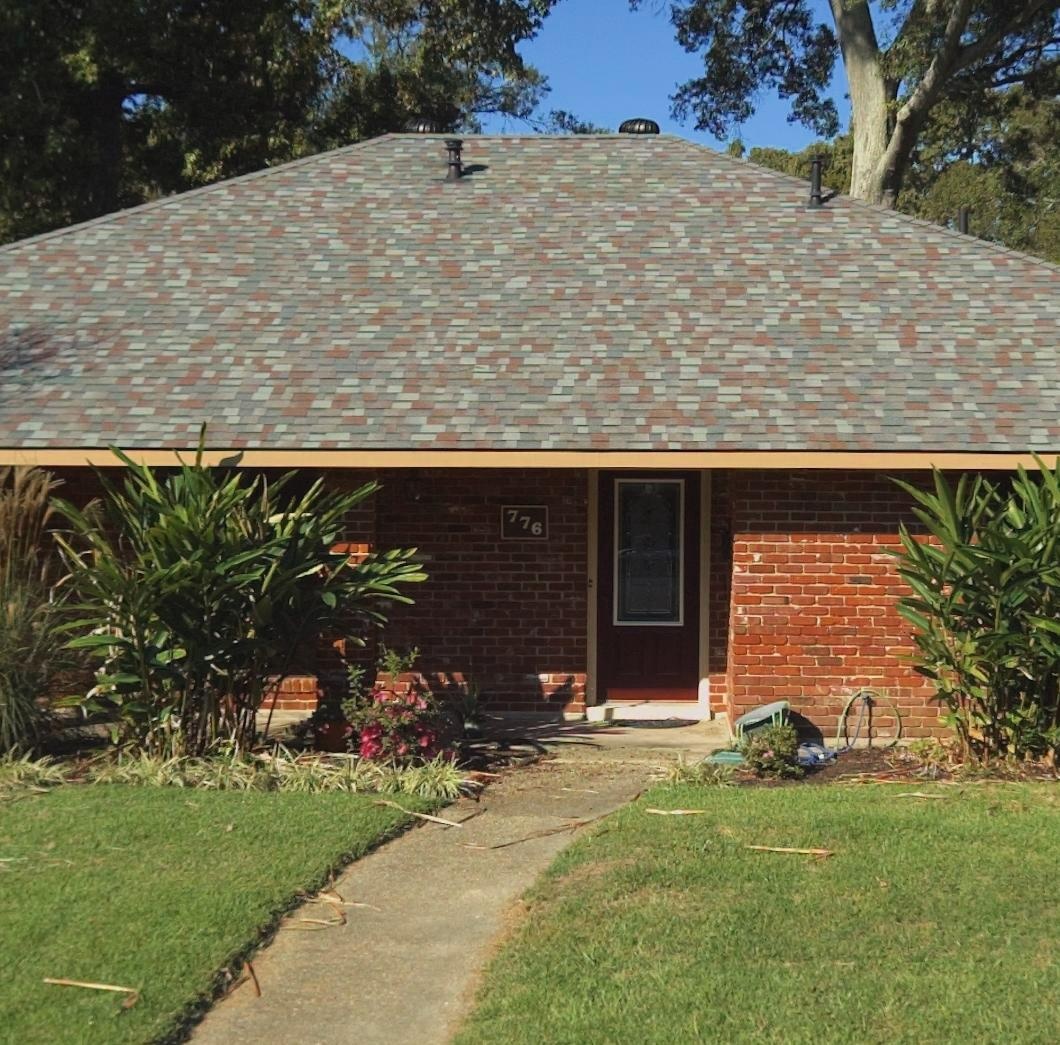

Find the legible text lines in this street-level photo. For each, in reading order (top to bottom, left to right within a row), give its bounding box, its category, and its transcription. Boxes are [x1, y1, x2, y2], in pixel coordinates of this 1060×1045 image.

[505, 508, 545, 538] StreetNumber: 776